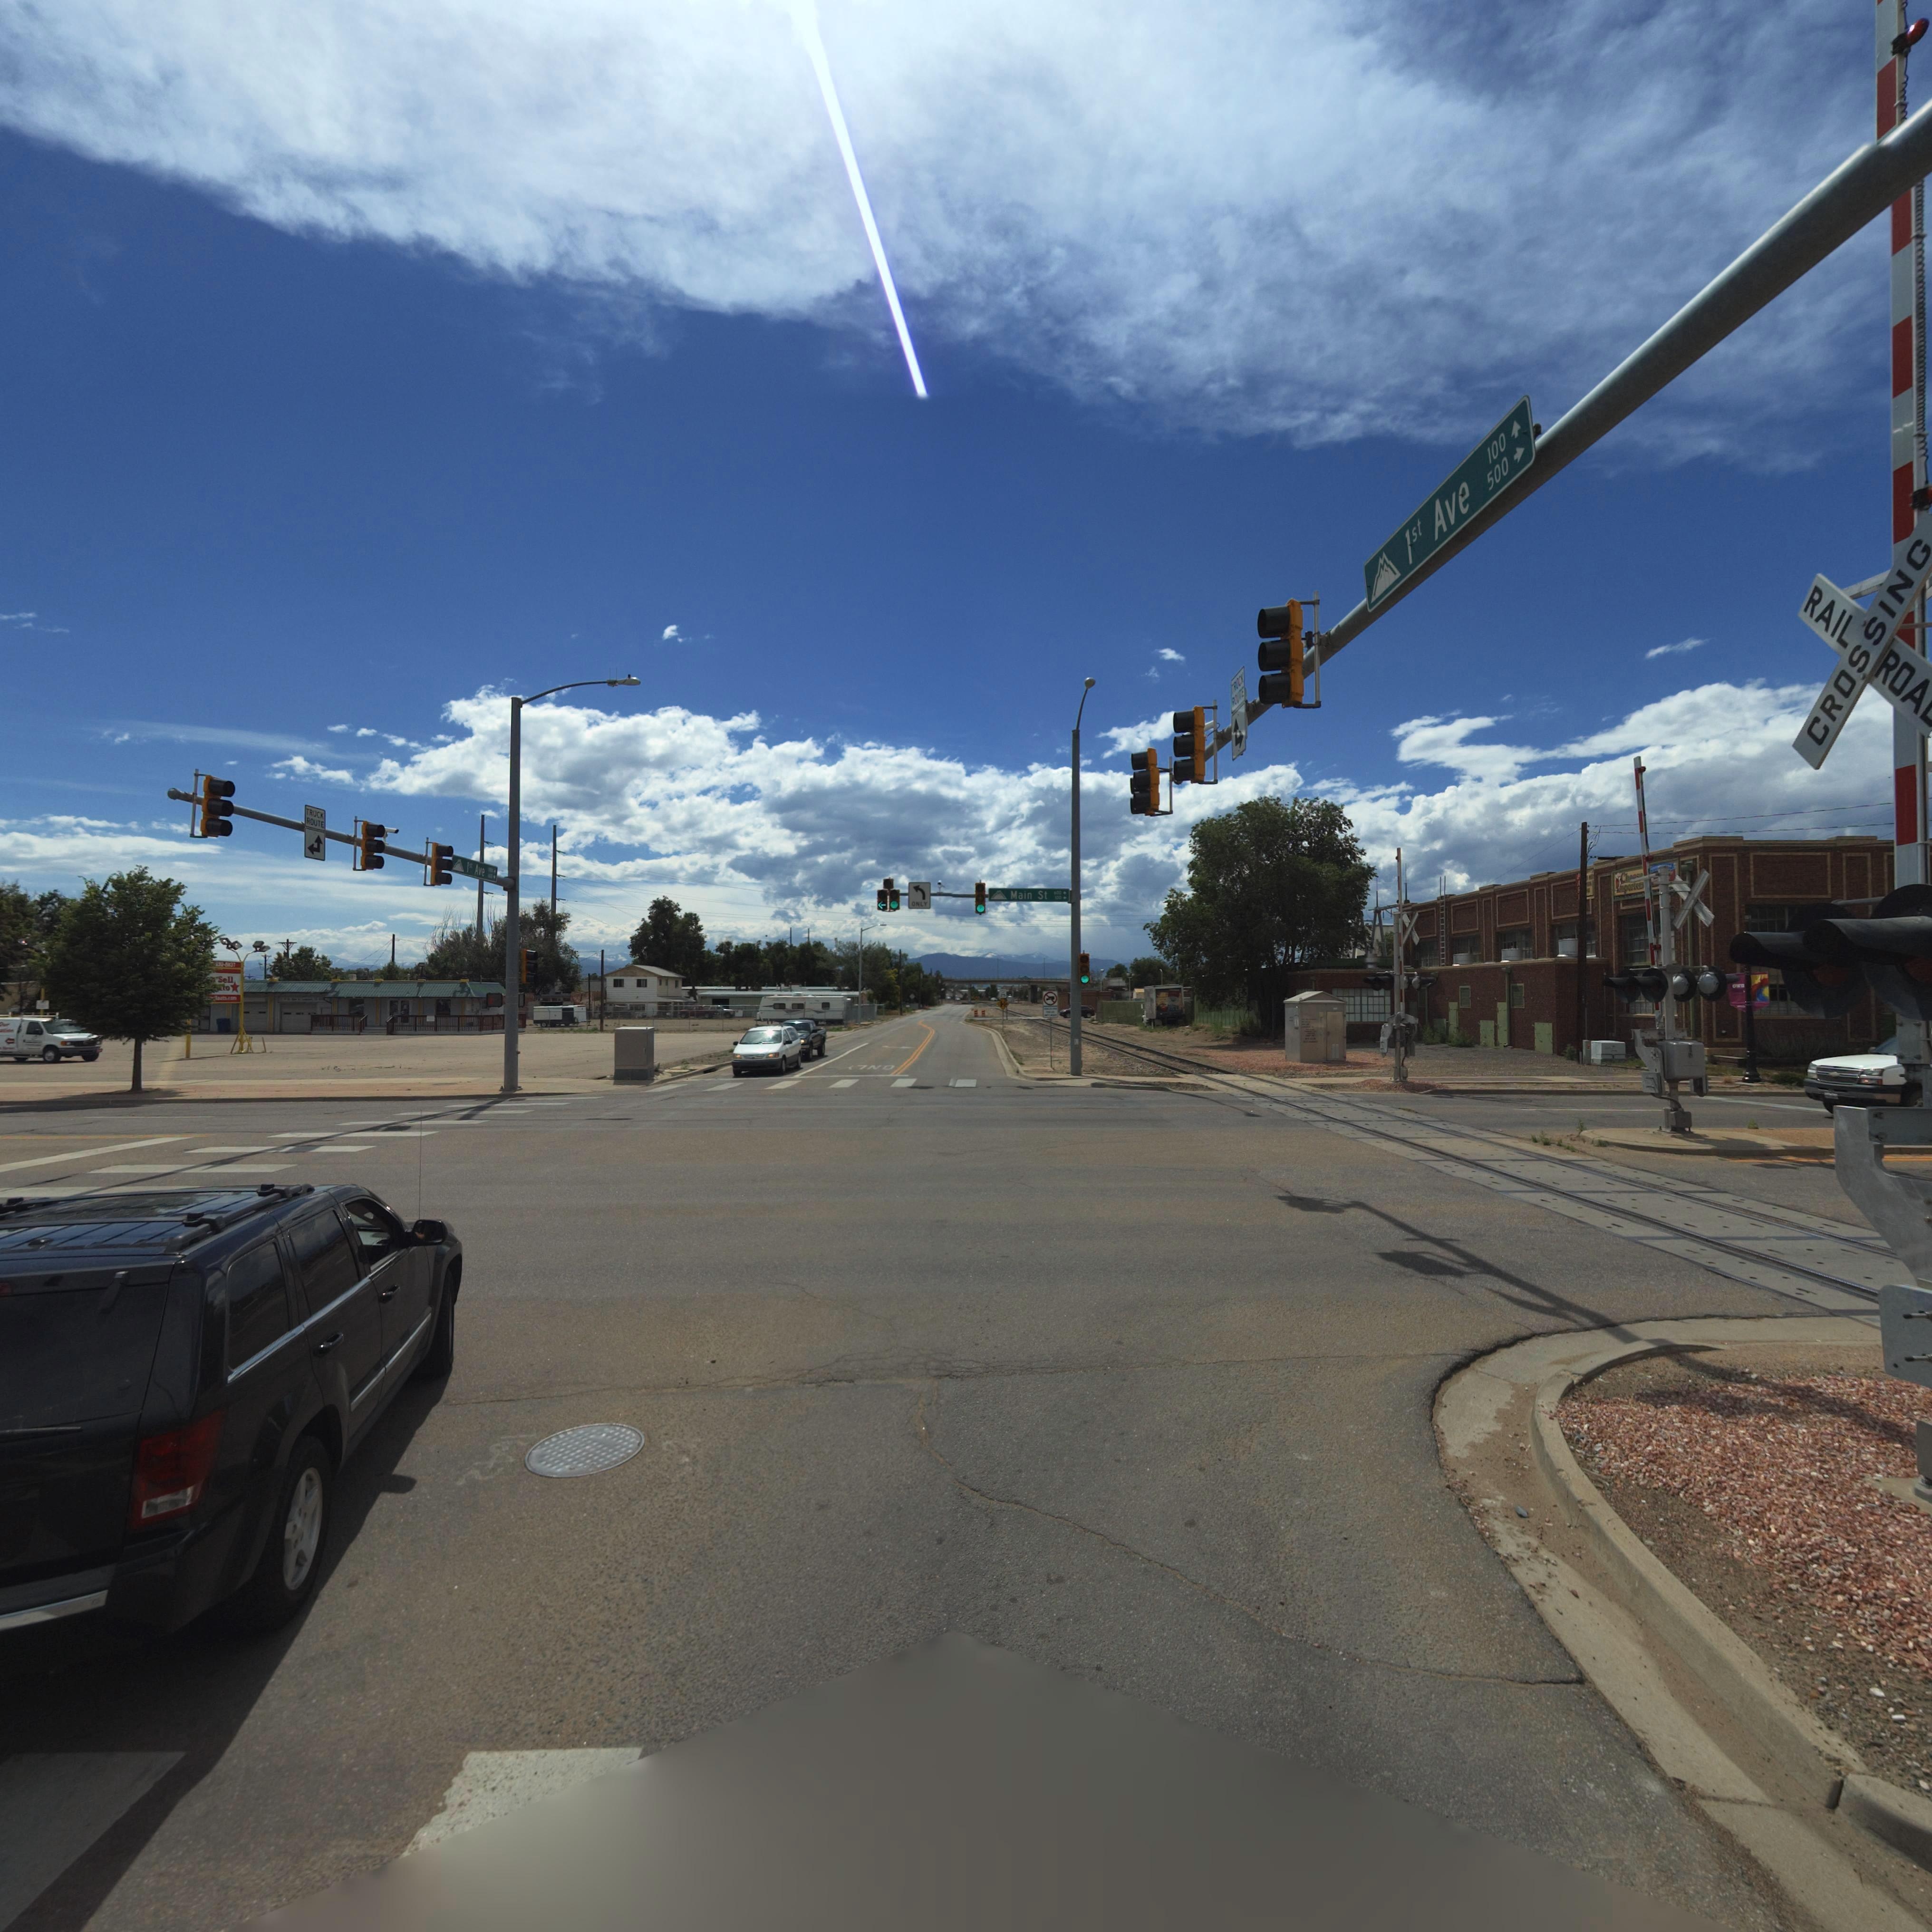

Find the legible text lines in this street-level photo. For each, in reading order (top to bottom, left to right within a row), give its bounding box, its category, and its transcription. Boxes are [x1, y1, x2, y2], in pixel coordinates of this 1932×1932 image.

[1487, 431, 1506, 465] StreetNumberRange: 100
[1486, 446, 1526, 492] StreetNumberRange: 500->
[1404, 481, 1471, 567] StreetName: 1st Ave
[466, 861, 485, 877] StreetName: 1st Ave
[1619, 871, 1643, 883] BusinessName: Ch**s*
[1010, 890, 1048, 900] StreetName: Main St
[1053, 890, 1062, 895] StreetNumberRange: 600
[1054, 895, 1067, 899] StreetNumberRange: 100->
[1616, 881, 1644, 895] BusinessName: Import*e*s